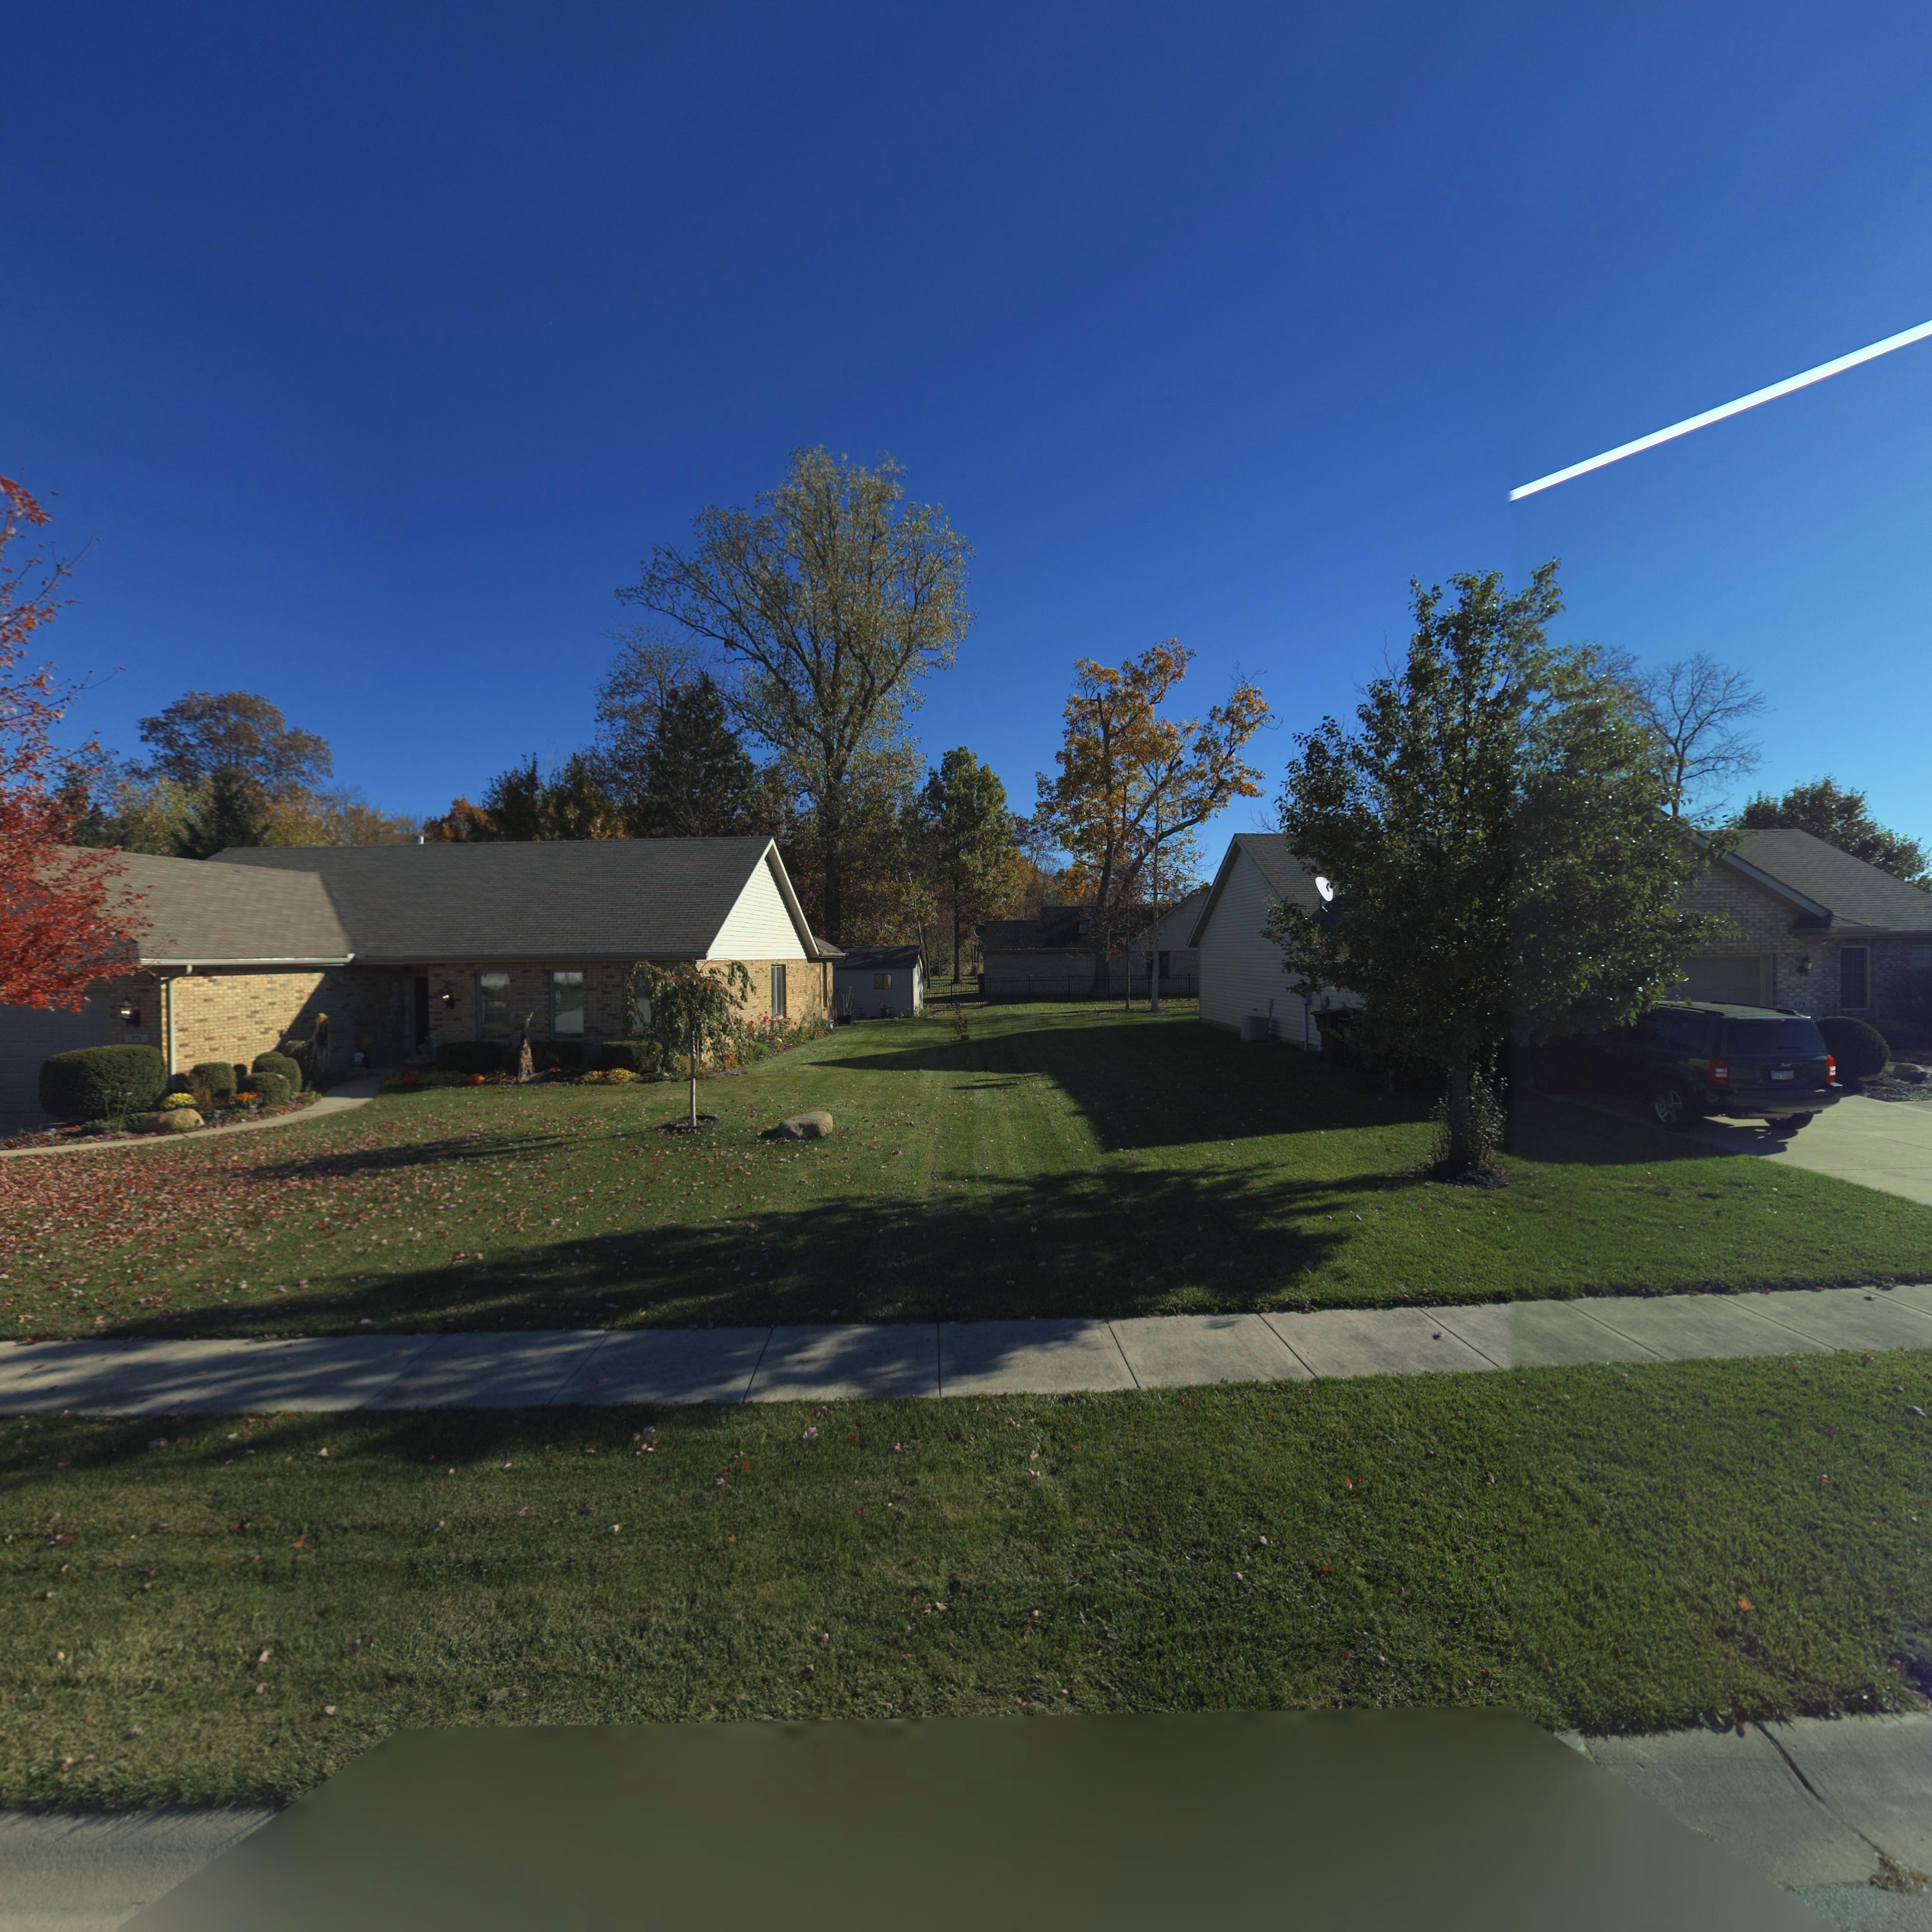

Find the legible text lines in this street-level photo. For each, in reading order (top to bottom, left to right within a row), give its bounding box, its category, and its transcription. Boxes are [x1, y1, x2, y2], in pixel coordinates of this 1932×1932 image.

[1793, 1001, 1806, 1008] StreetNumber: 171